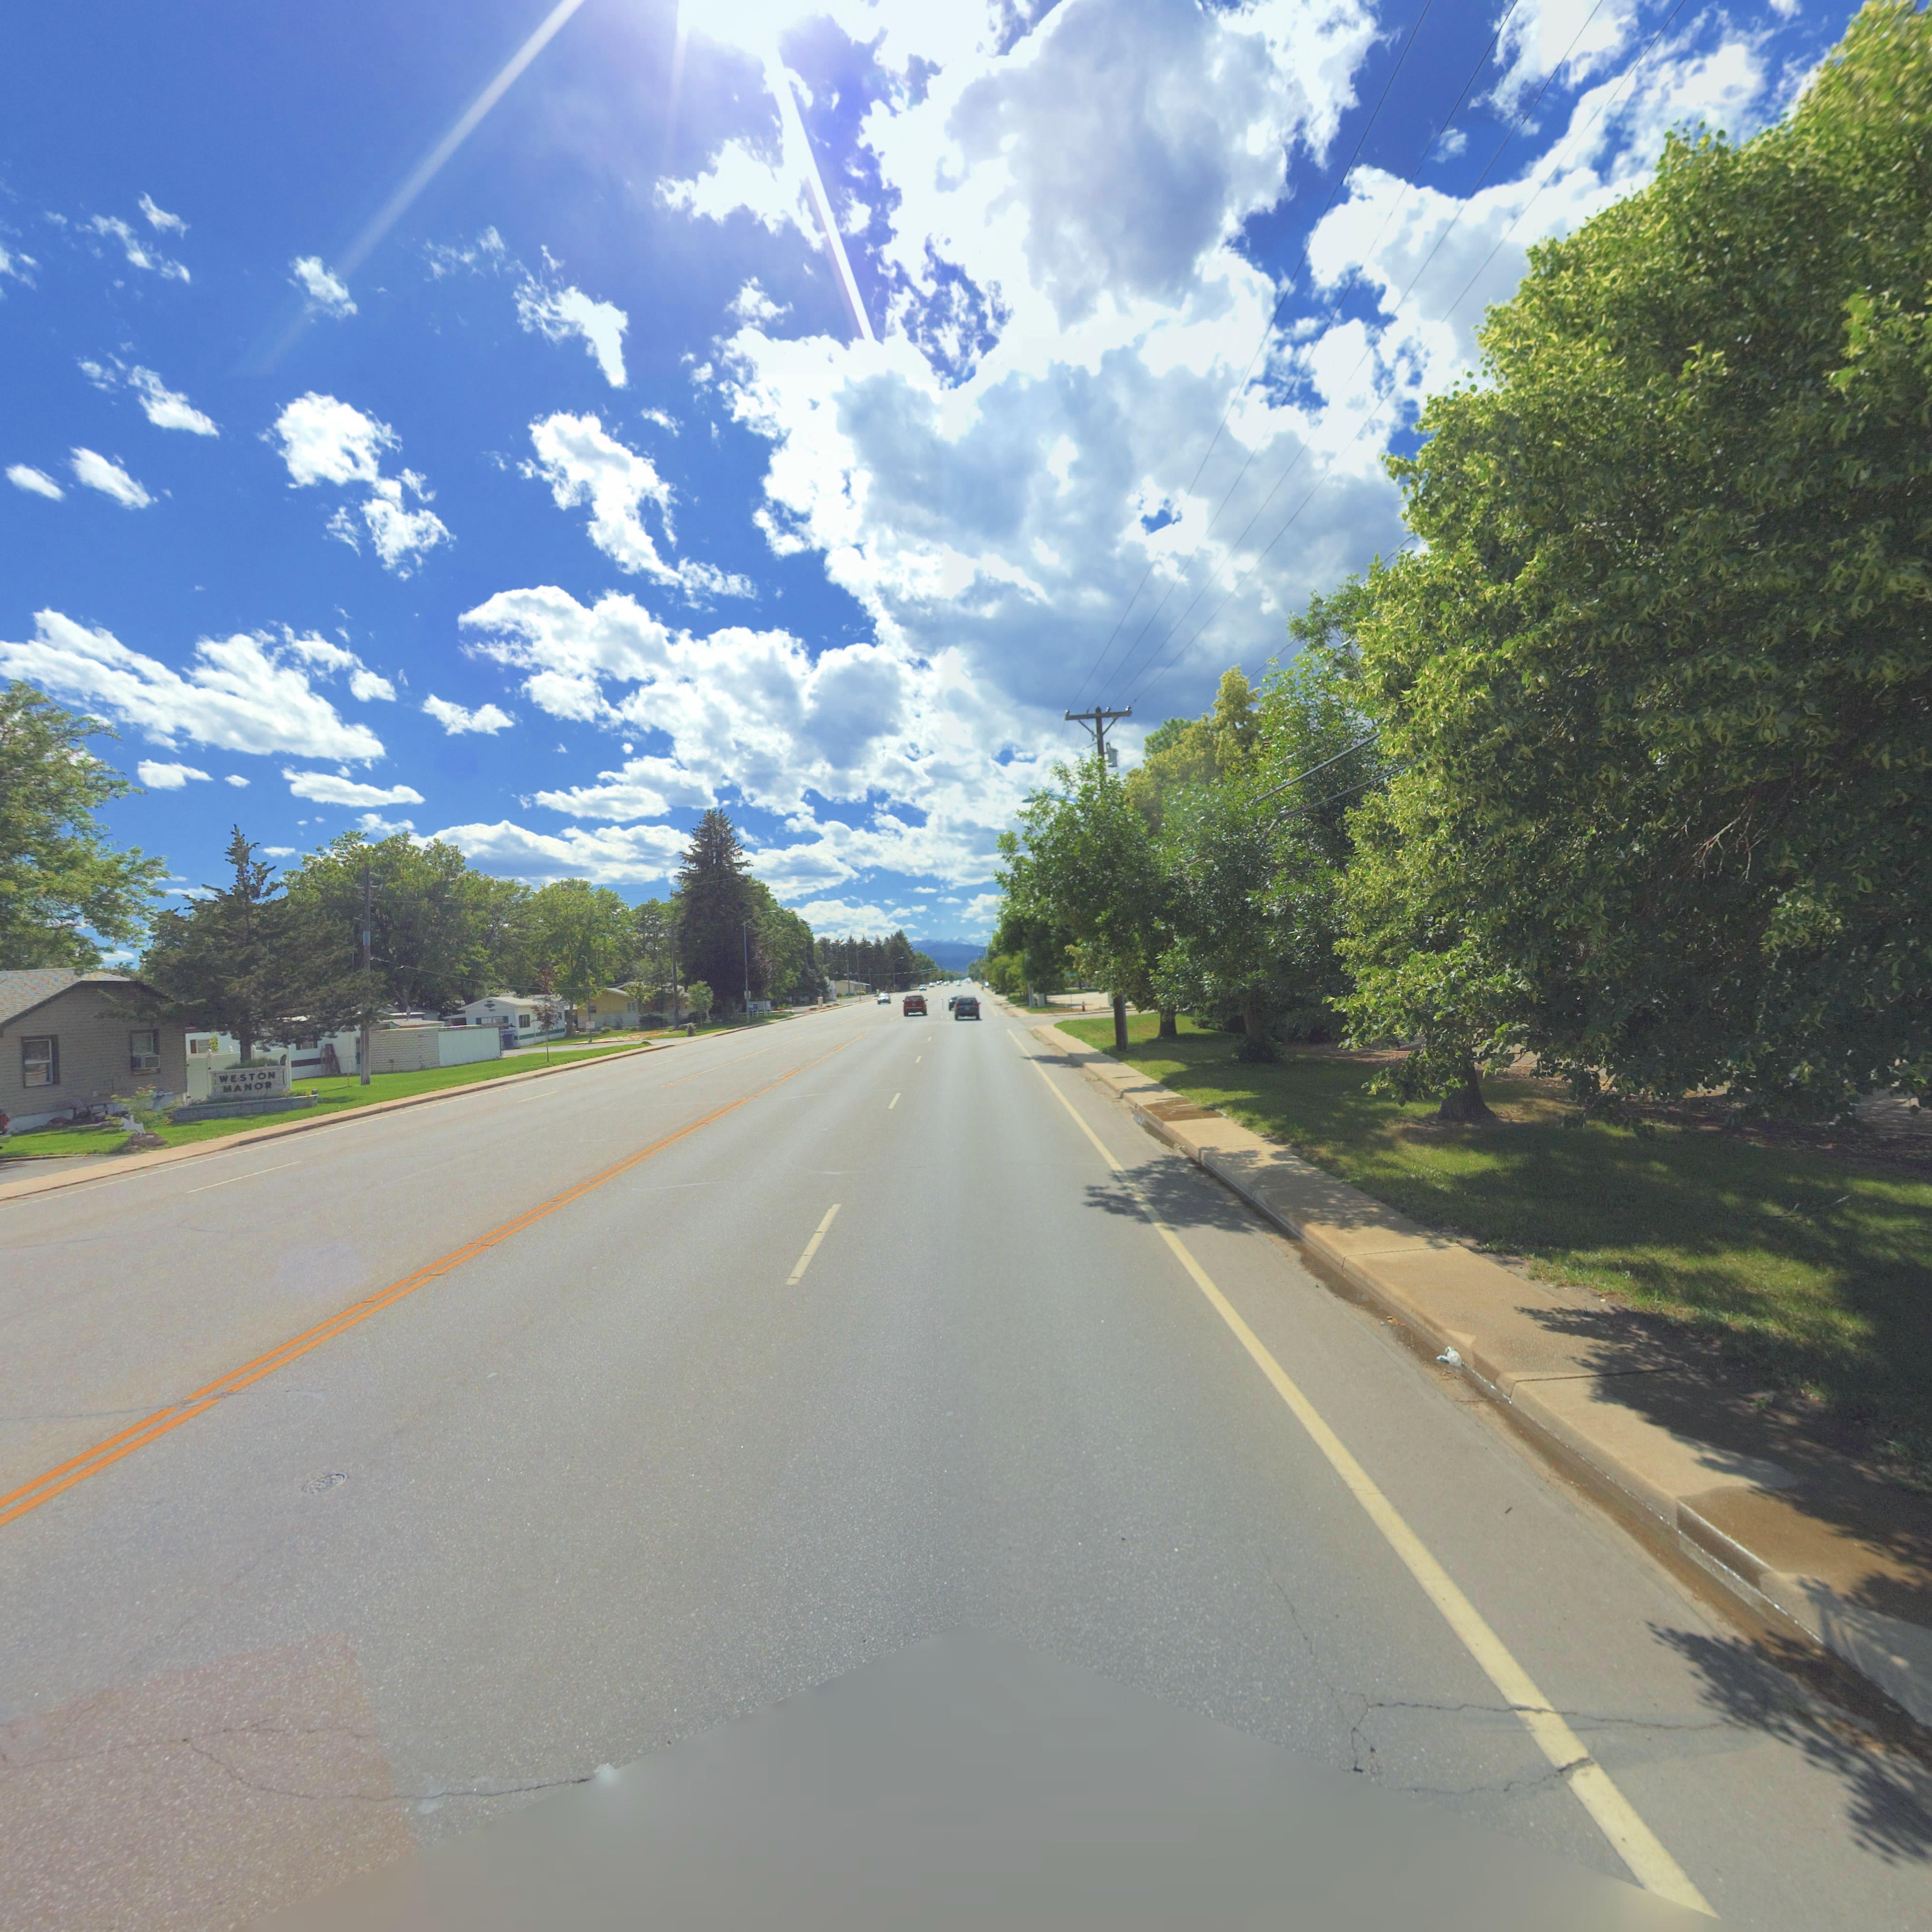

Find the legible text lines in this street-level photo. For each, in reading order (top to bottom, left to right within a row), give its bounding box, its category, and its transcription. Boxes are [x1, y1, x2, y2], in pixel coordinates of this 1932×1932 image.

[218, 1071, 275, 1083] BusinessName: WESTON
[222, 1081, 272, 1093] BusinessName: MANOR